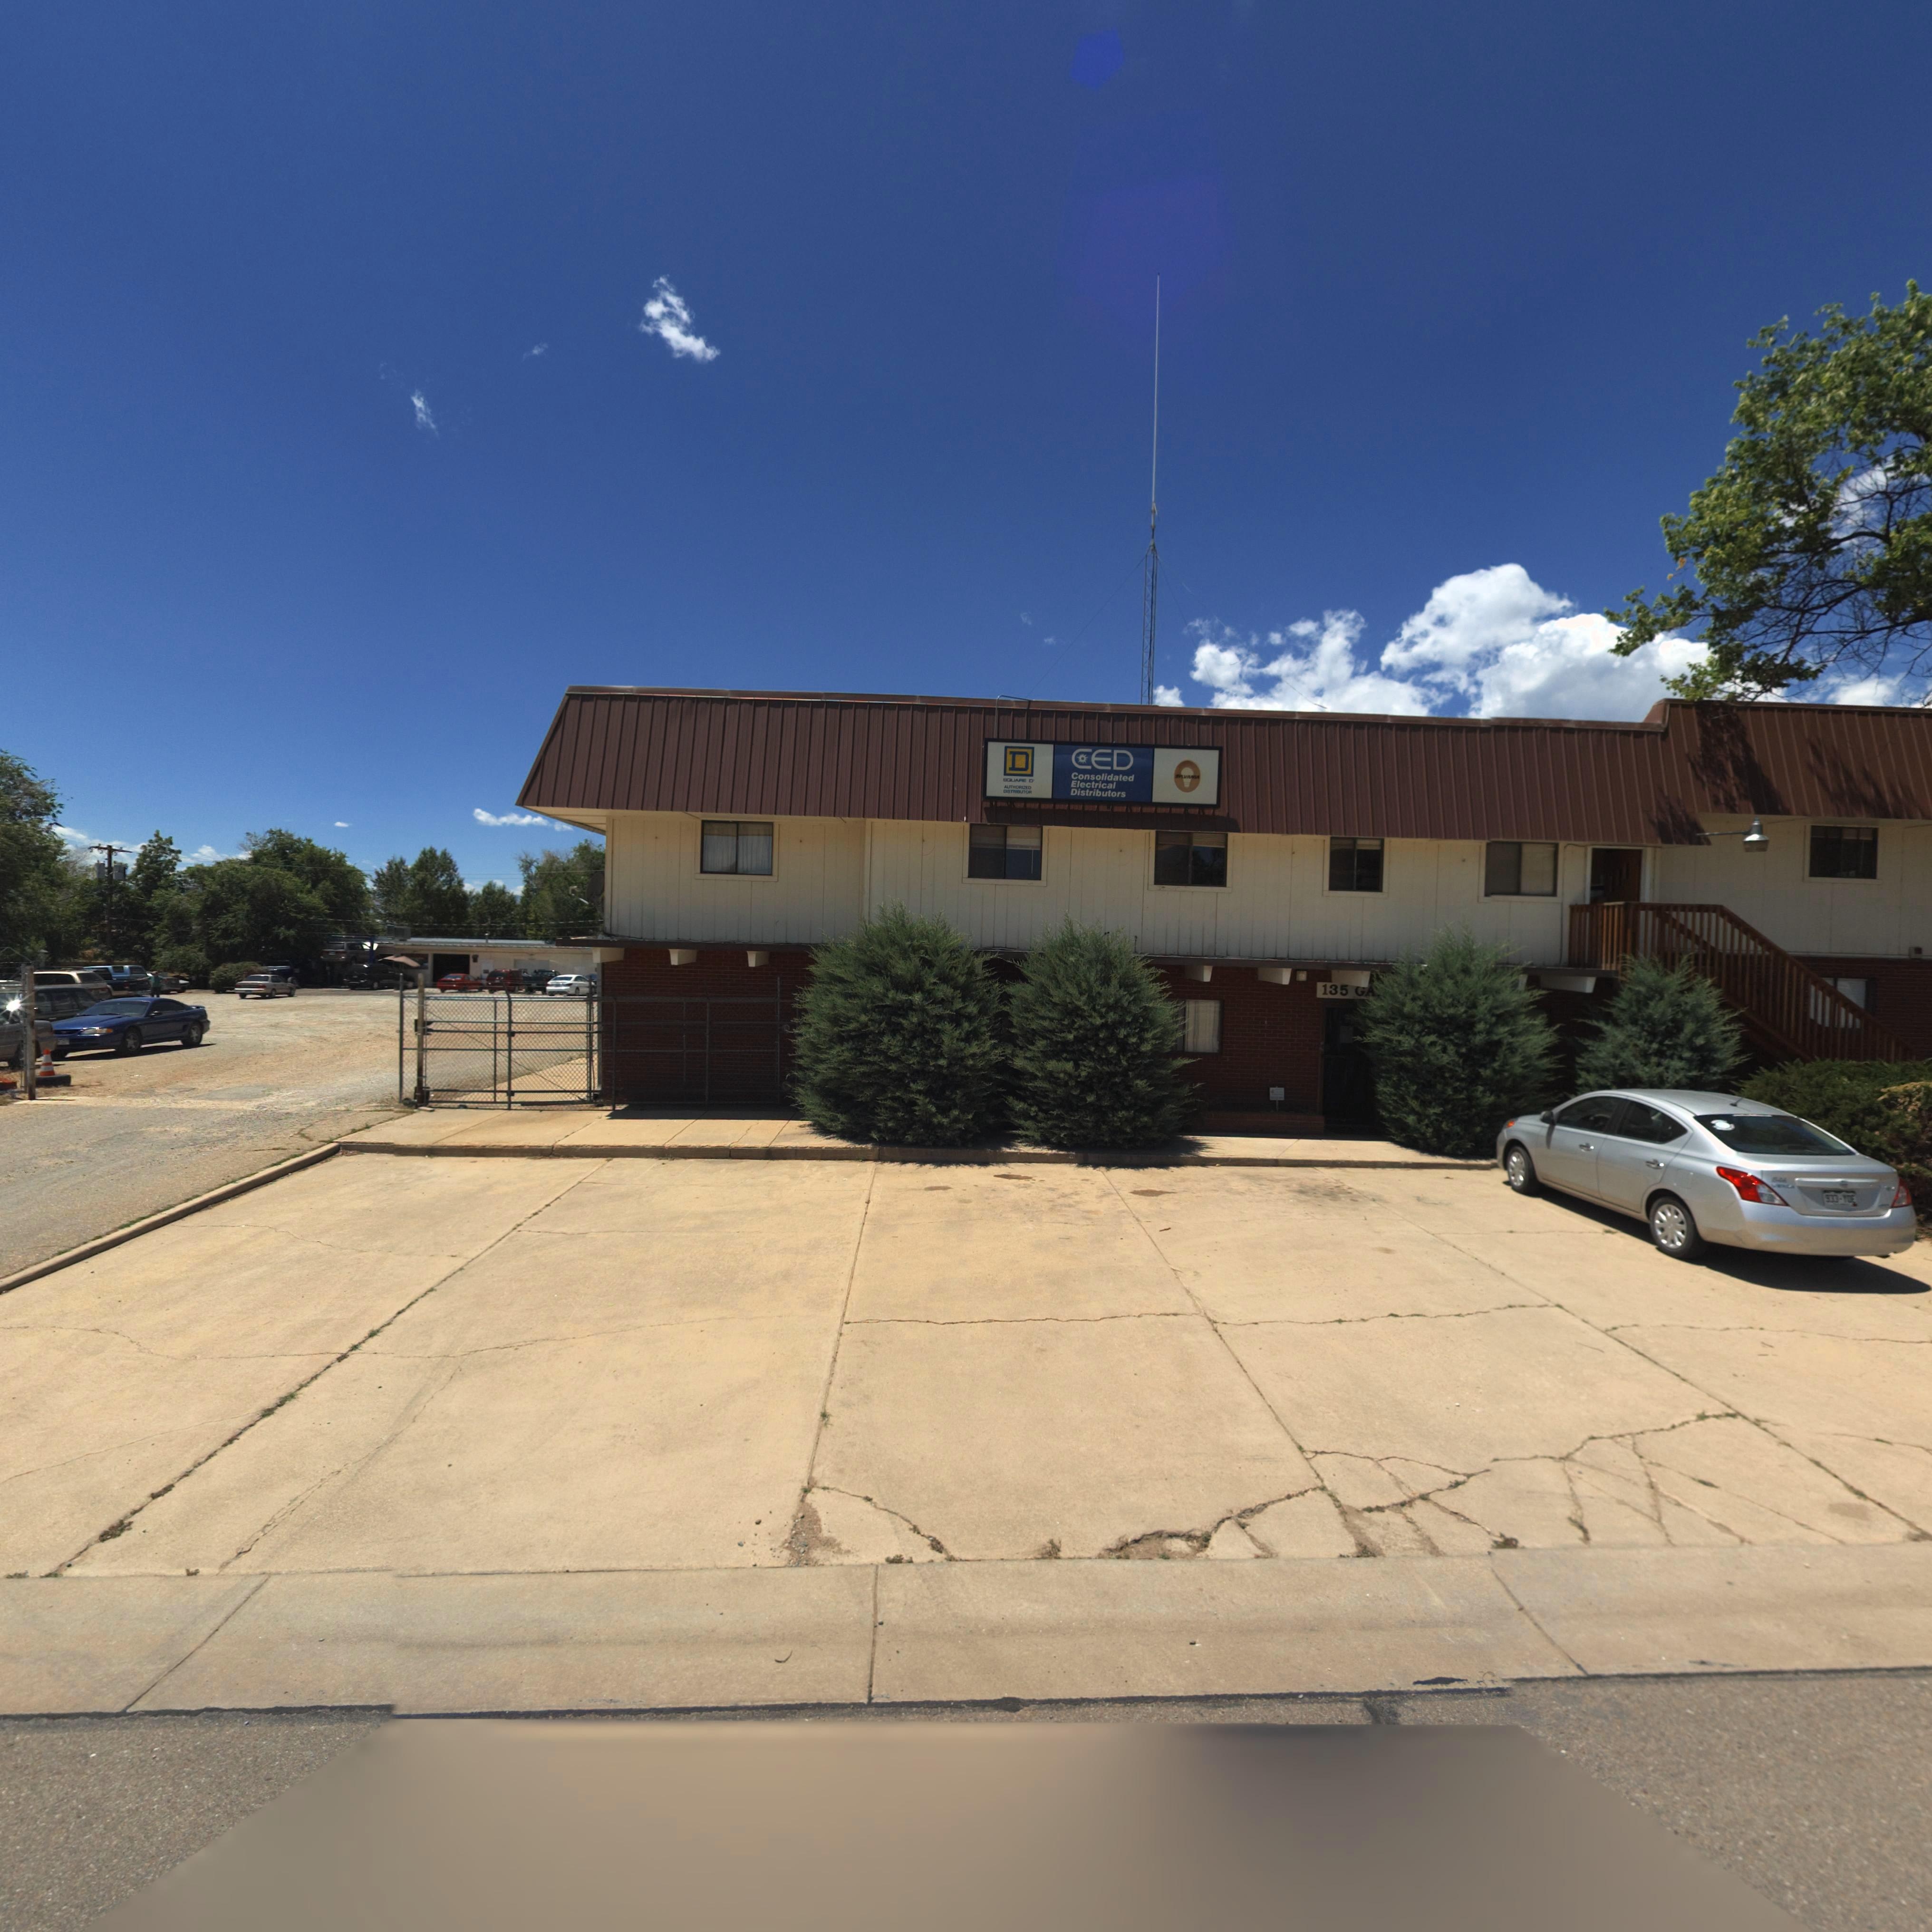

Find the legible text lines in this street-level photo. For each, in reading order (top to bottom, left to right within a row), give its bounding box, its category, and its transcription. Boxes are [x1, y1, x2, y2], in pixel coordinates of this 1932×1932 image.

[1071, 747, 1134, 771] BusinessName: CED
[1003, 784, 1032, 790] BusinessName: AUTHORIZED
[1003, 789, 1032, 794] BusinessName: DISTRIBUTION
[1003, 777, 1034, 782] BusinessName: ***LIARE D
[1071, 780, 1116, 789] BusinessName: Electrical
[1070, 788, 1126, 797] BusinessName: Distributors
[1071, 772, 1135, 782] BusinessName: Consolidated
[1174, 773, 1199, 779] BusinessName: SYLVANIA
[1322, 983, 1349, 996] StreetNumber: 135
[1354, 984, 1378, 997] BusinessName: GA